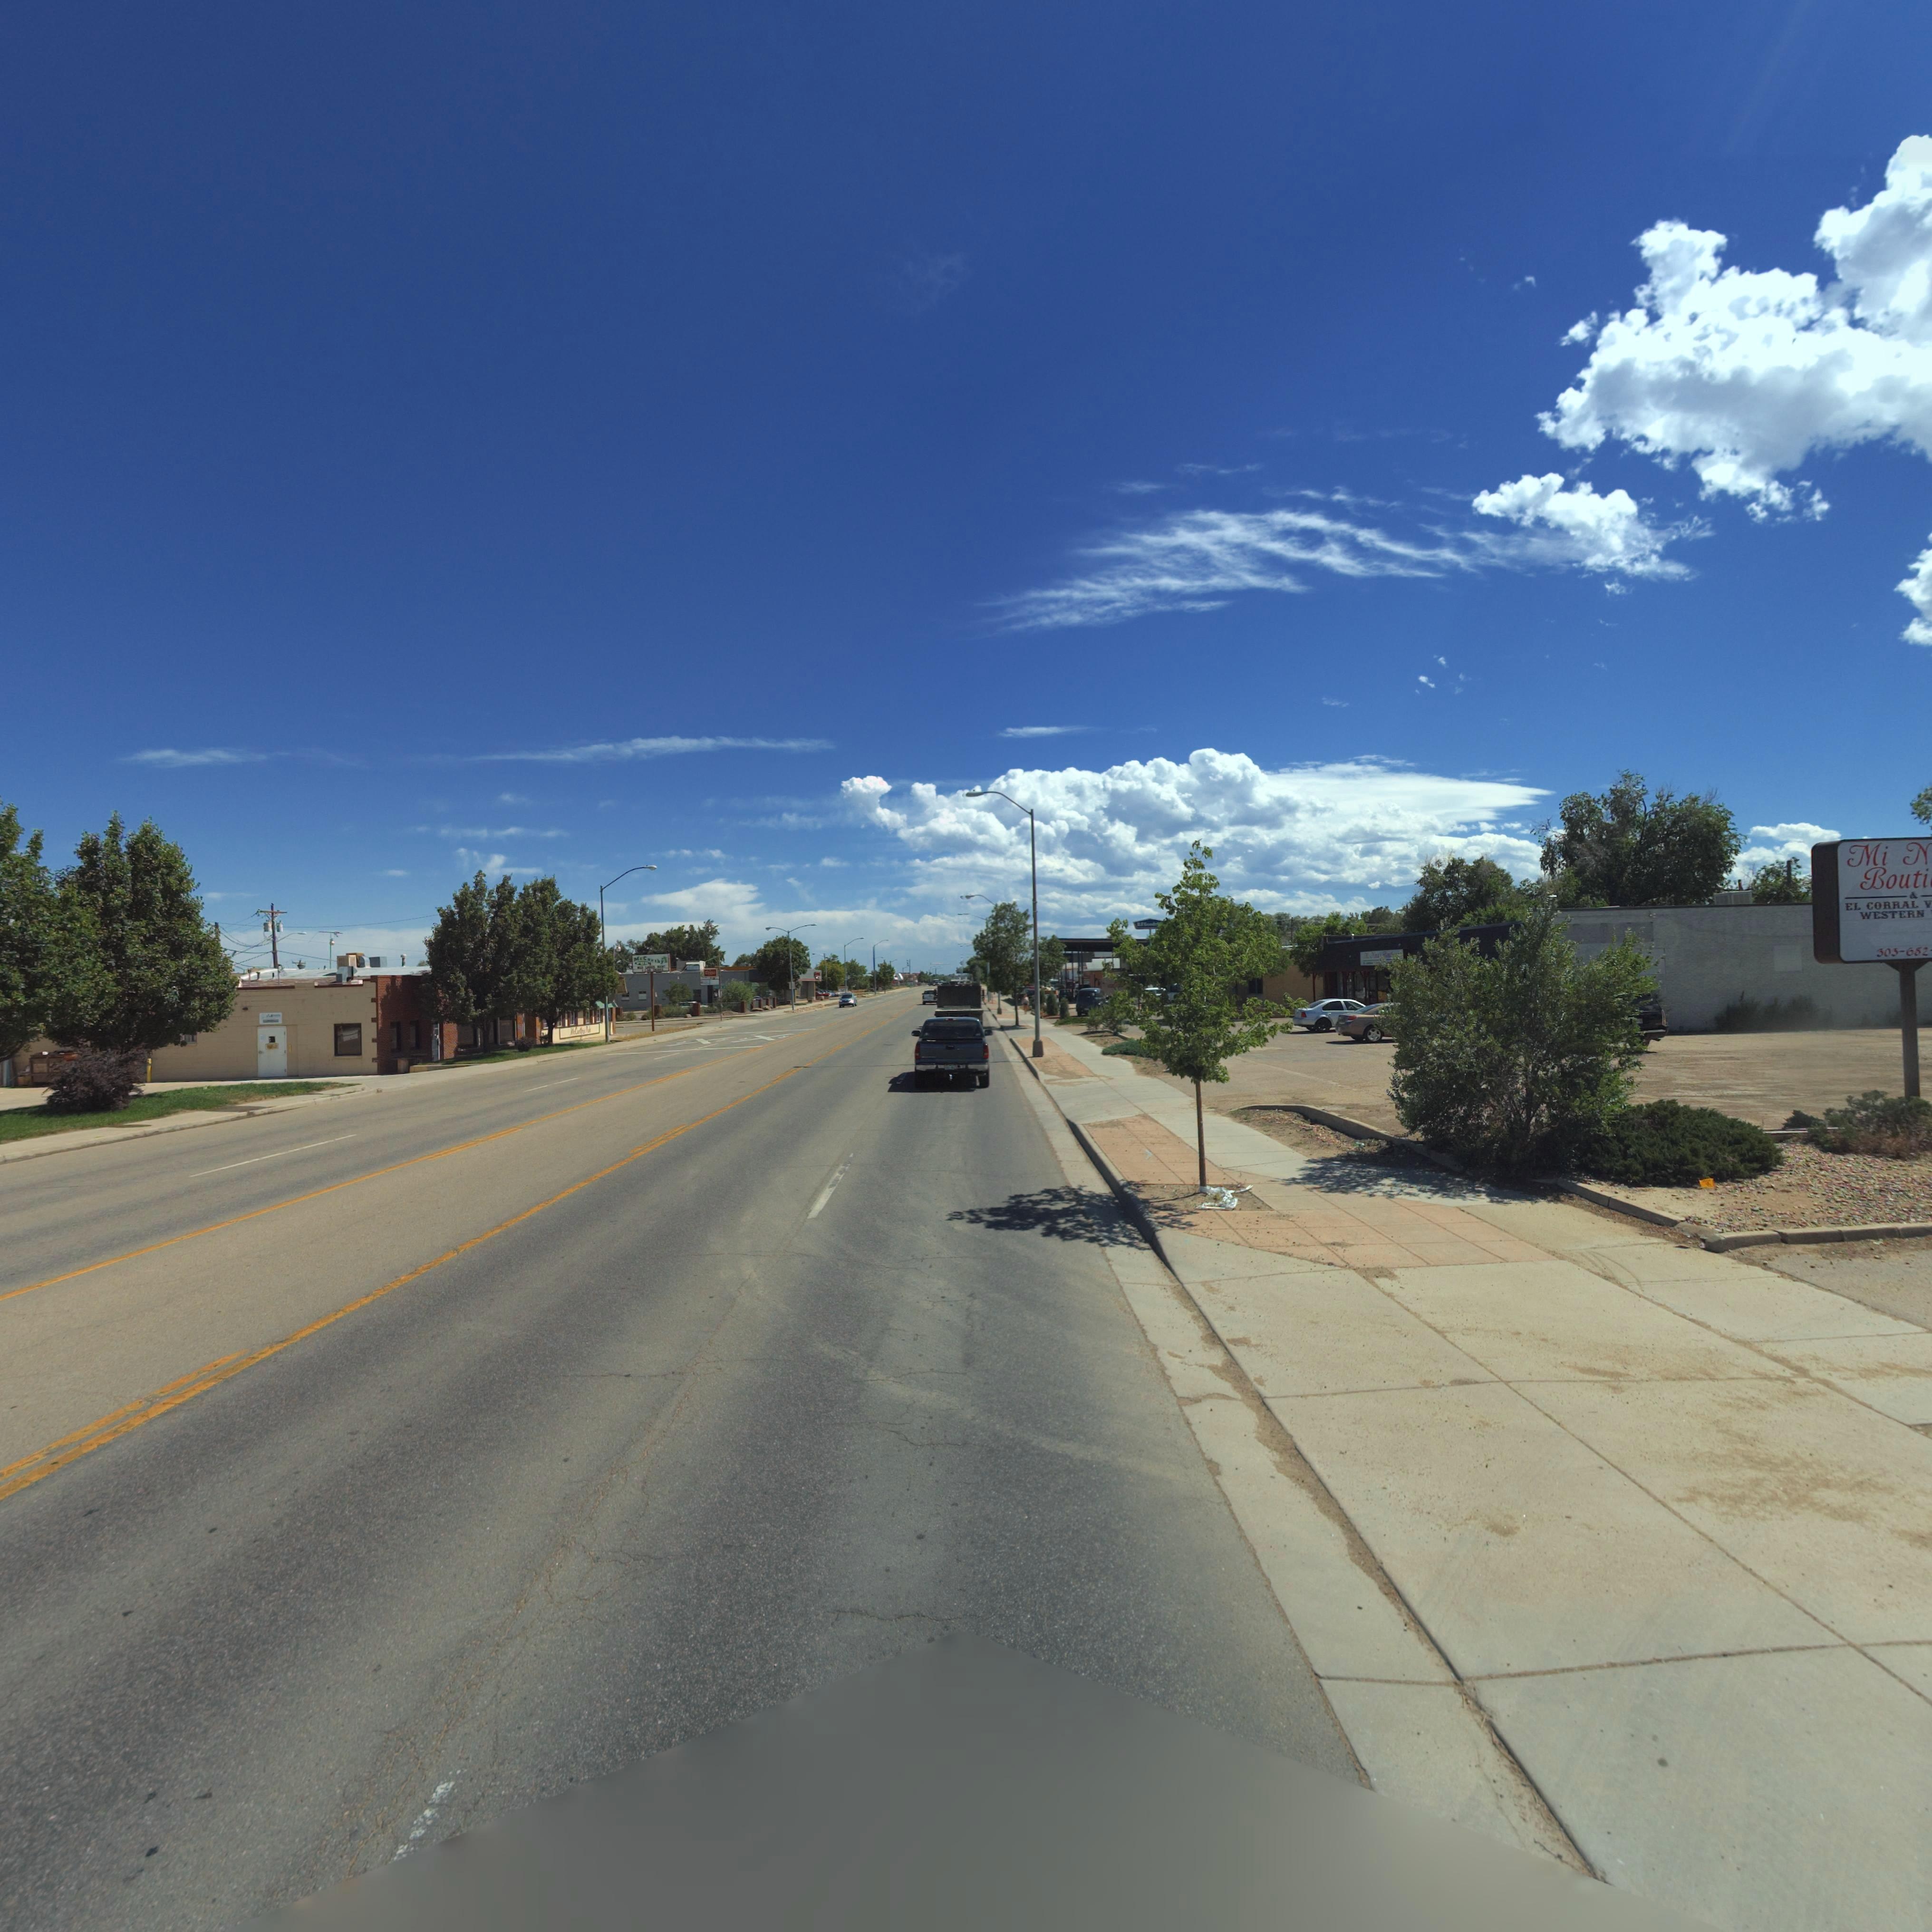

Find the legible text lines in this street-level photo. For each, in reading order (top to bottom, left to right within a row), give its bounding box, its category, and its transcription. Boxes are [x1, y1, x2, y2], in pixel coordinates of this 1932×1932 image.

[1846, 841, 1931, 868] BusinessName: Mi N
[1858, 866, 1930, 891] BusinessName: Bouti
[1844, 900, 1919, 911] BusinessName: EL CORRAL
[1858, 909, 1924, 920] BusinessName: WESTERN
[1137, 921, 1155, 926] BusinessName: B* Good
[636, 961, 648, 965] BusinessName: PUB
[634, 956, 667, 965] BusinessName: McCarthy's
[1363, 951, 1380, 959] BusinessName: Mi N**
[569, 1025, 591, 1035] BusinessName: McC*rthy* P*b